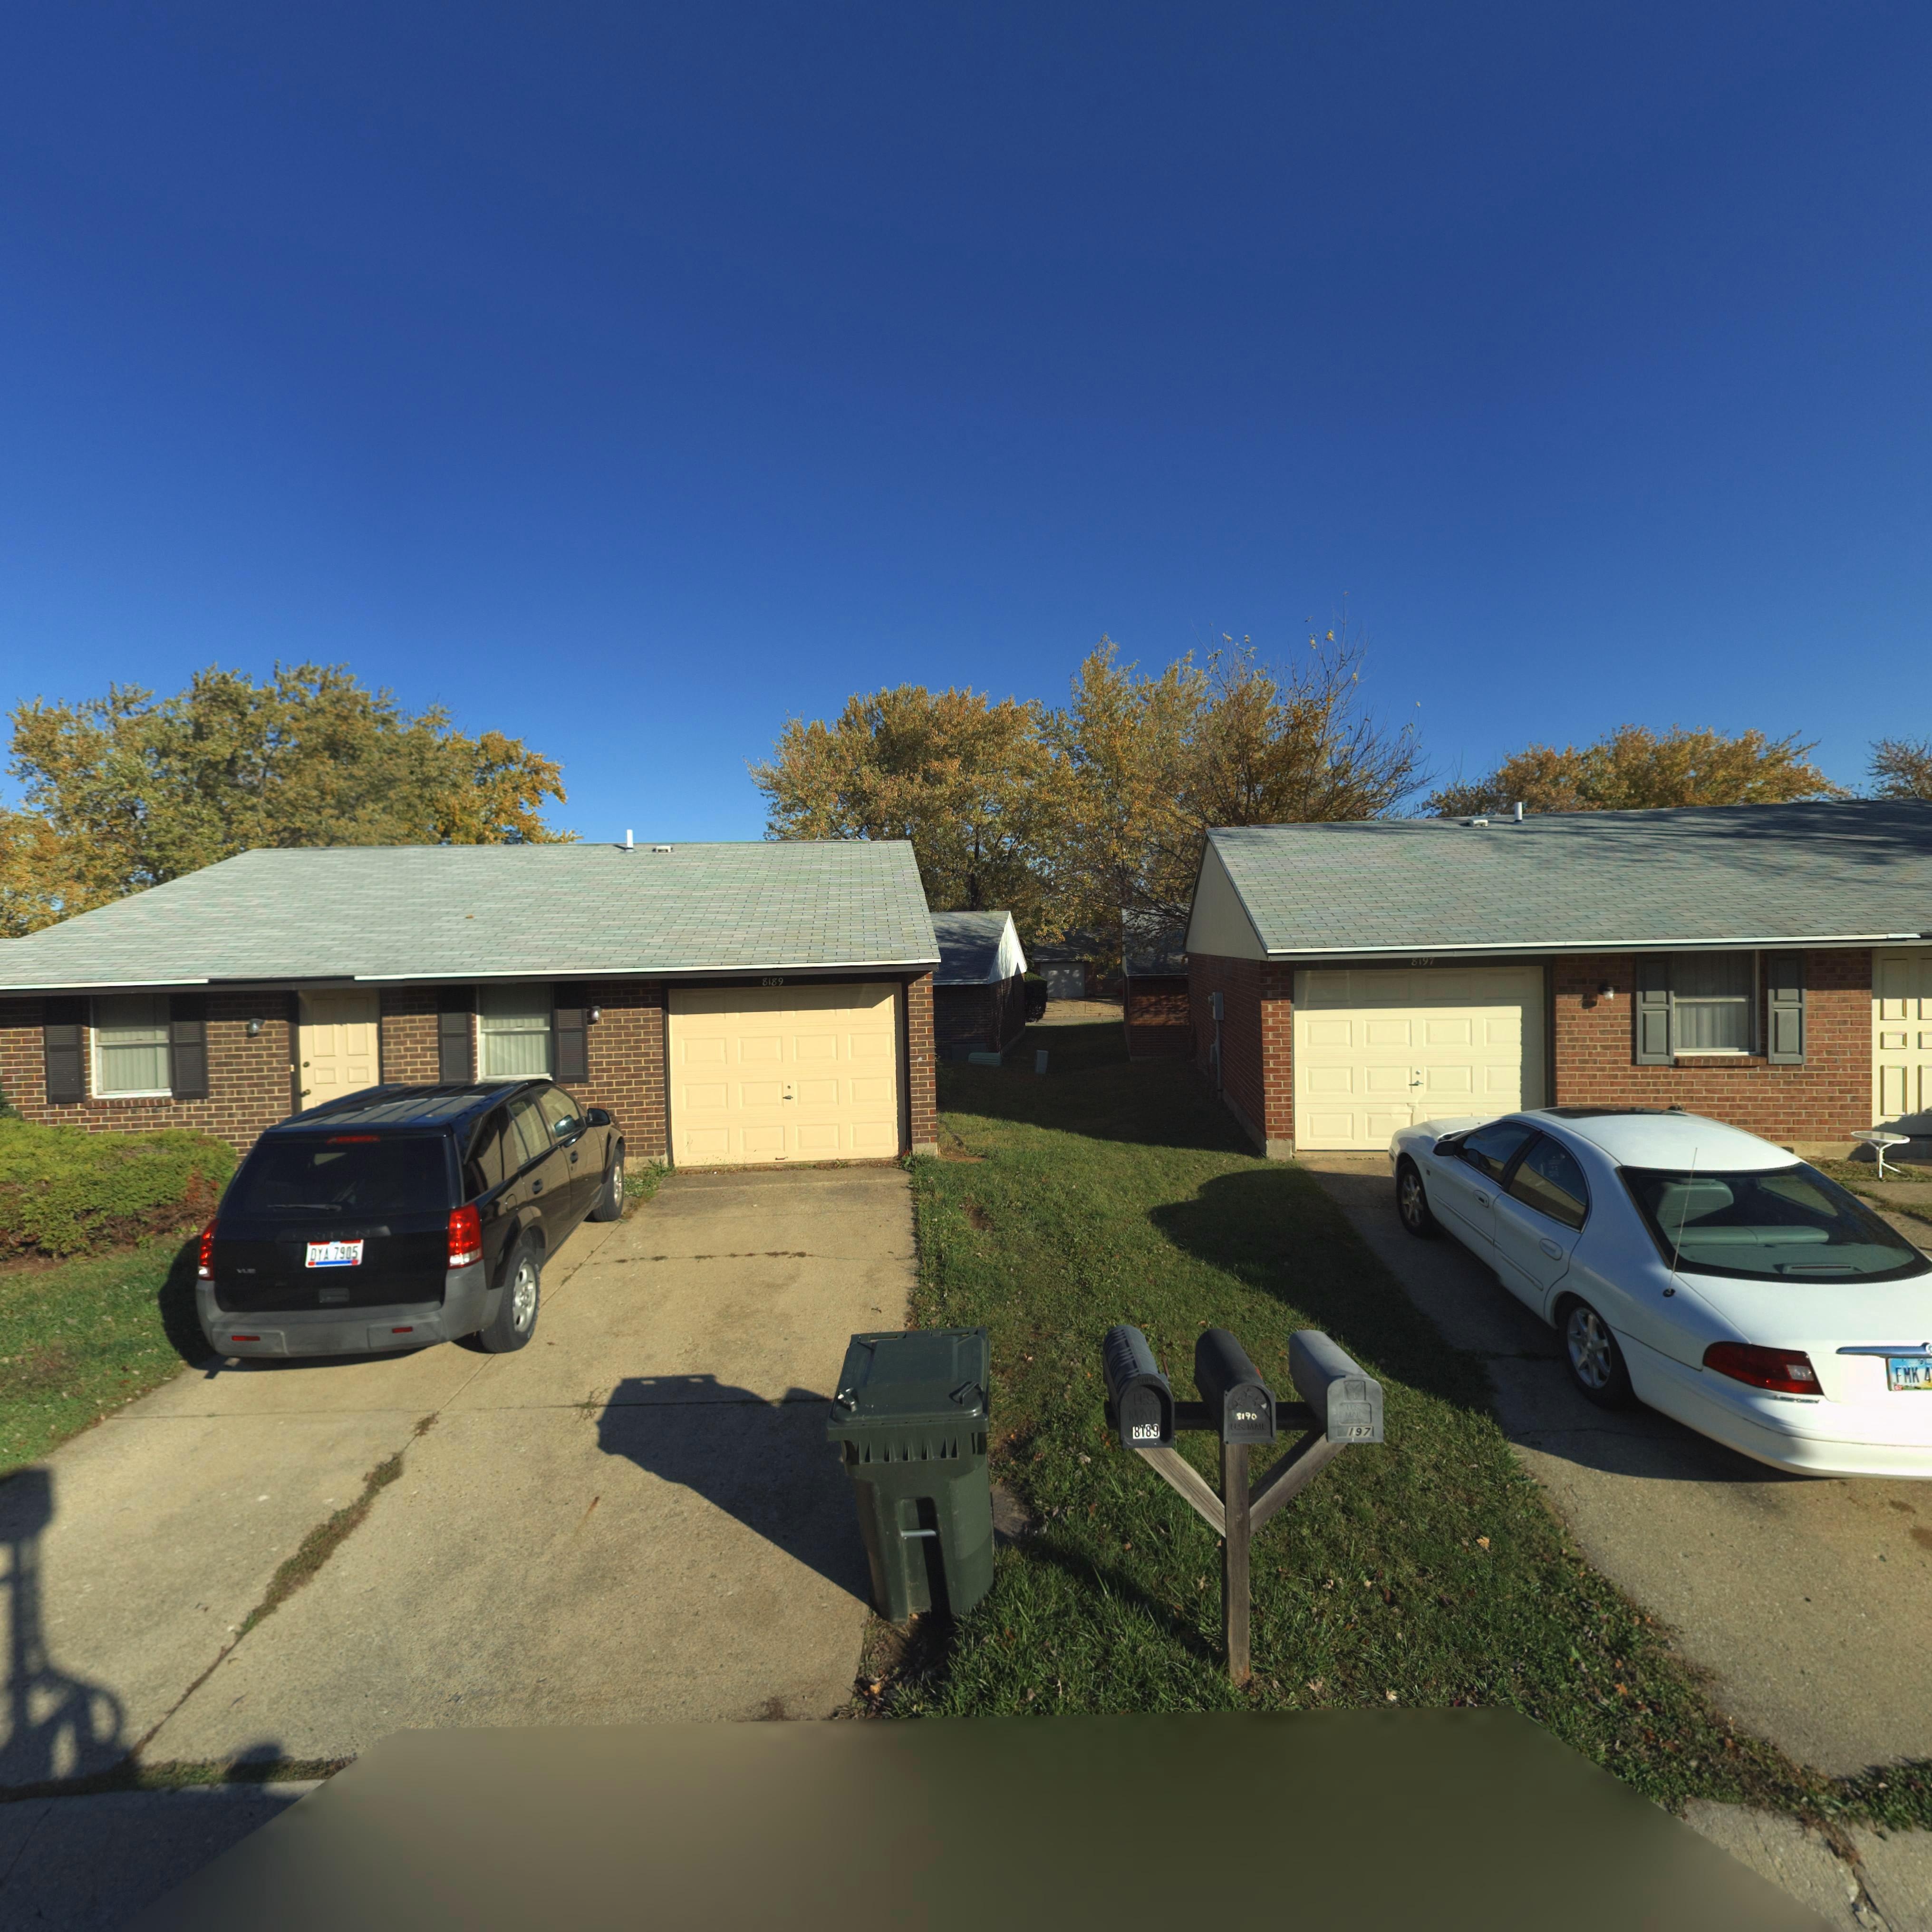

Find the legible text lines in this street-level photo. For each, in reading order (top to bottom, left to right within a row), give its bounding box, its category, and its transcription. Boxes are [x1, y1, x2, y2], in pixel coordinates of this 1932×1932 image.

[1411, 956, 1436, 966] StreetNumber: 8197
[762, 977, 784, 987] StreetNumber: 8189
[1236, 1411, 1258, 1421] StreetNumber: 8190
[1134, 1424, 1159, 1438] StreetNumber: 8189
[1346, 1426, 1373, 1437] StreetNumber: 197